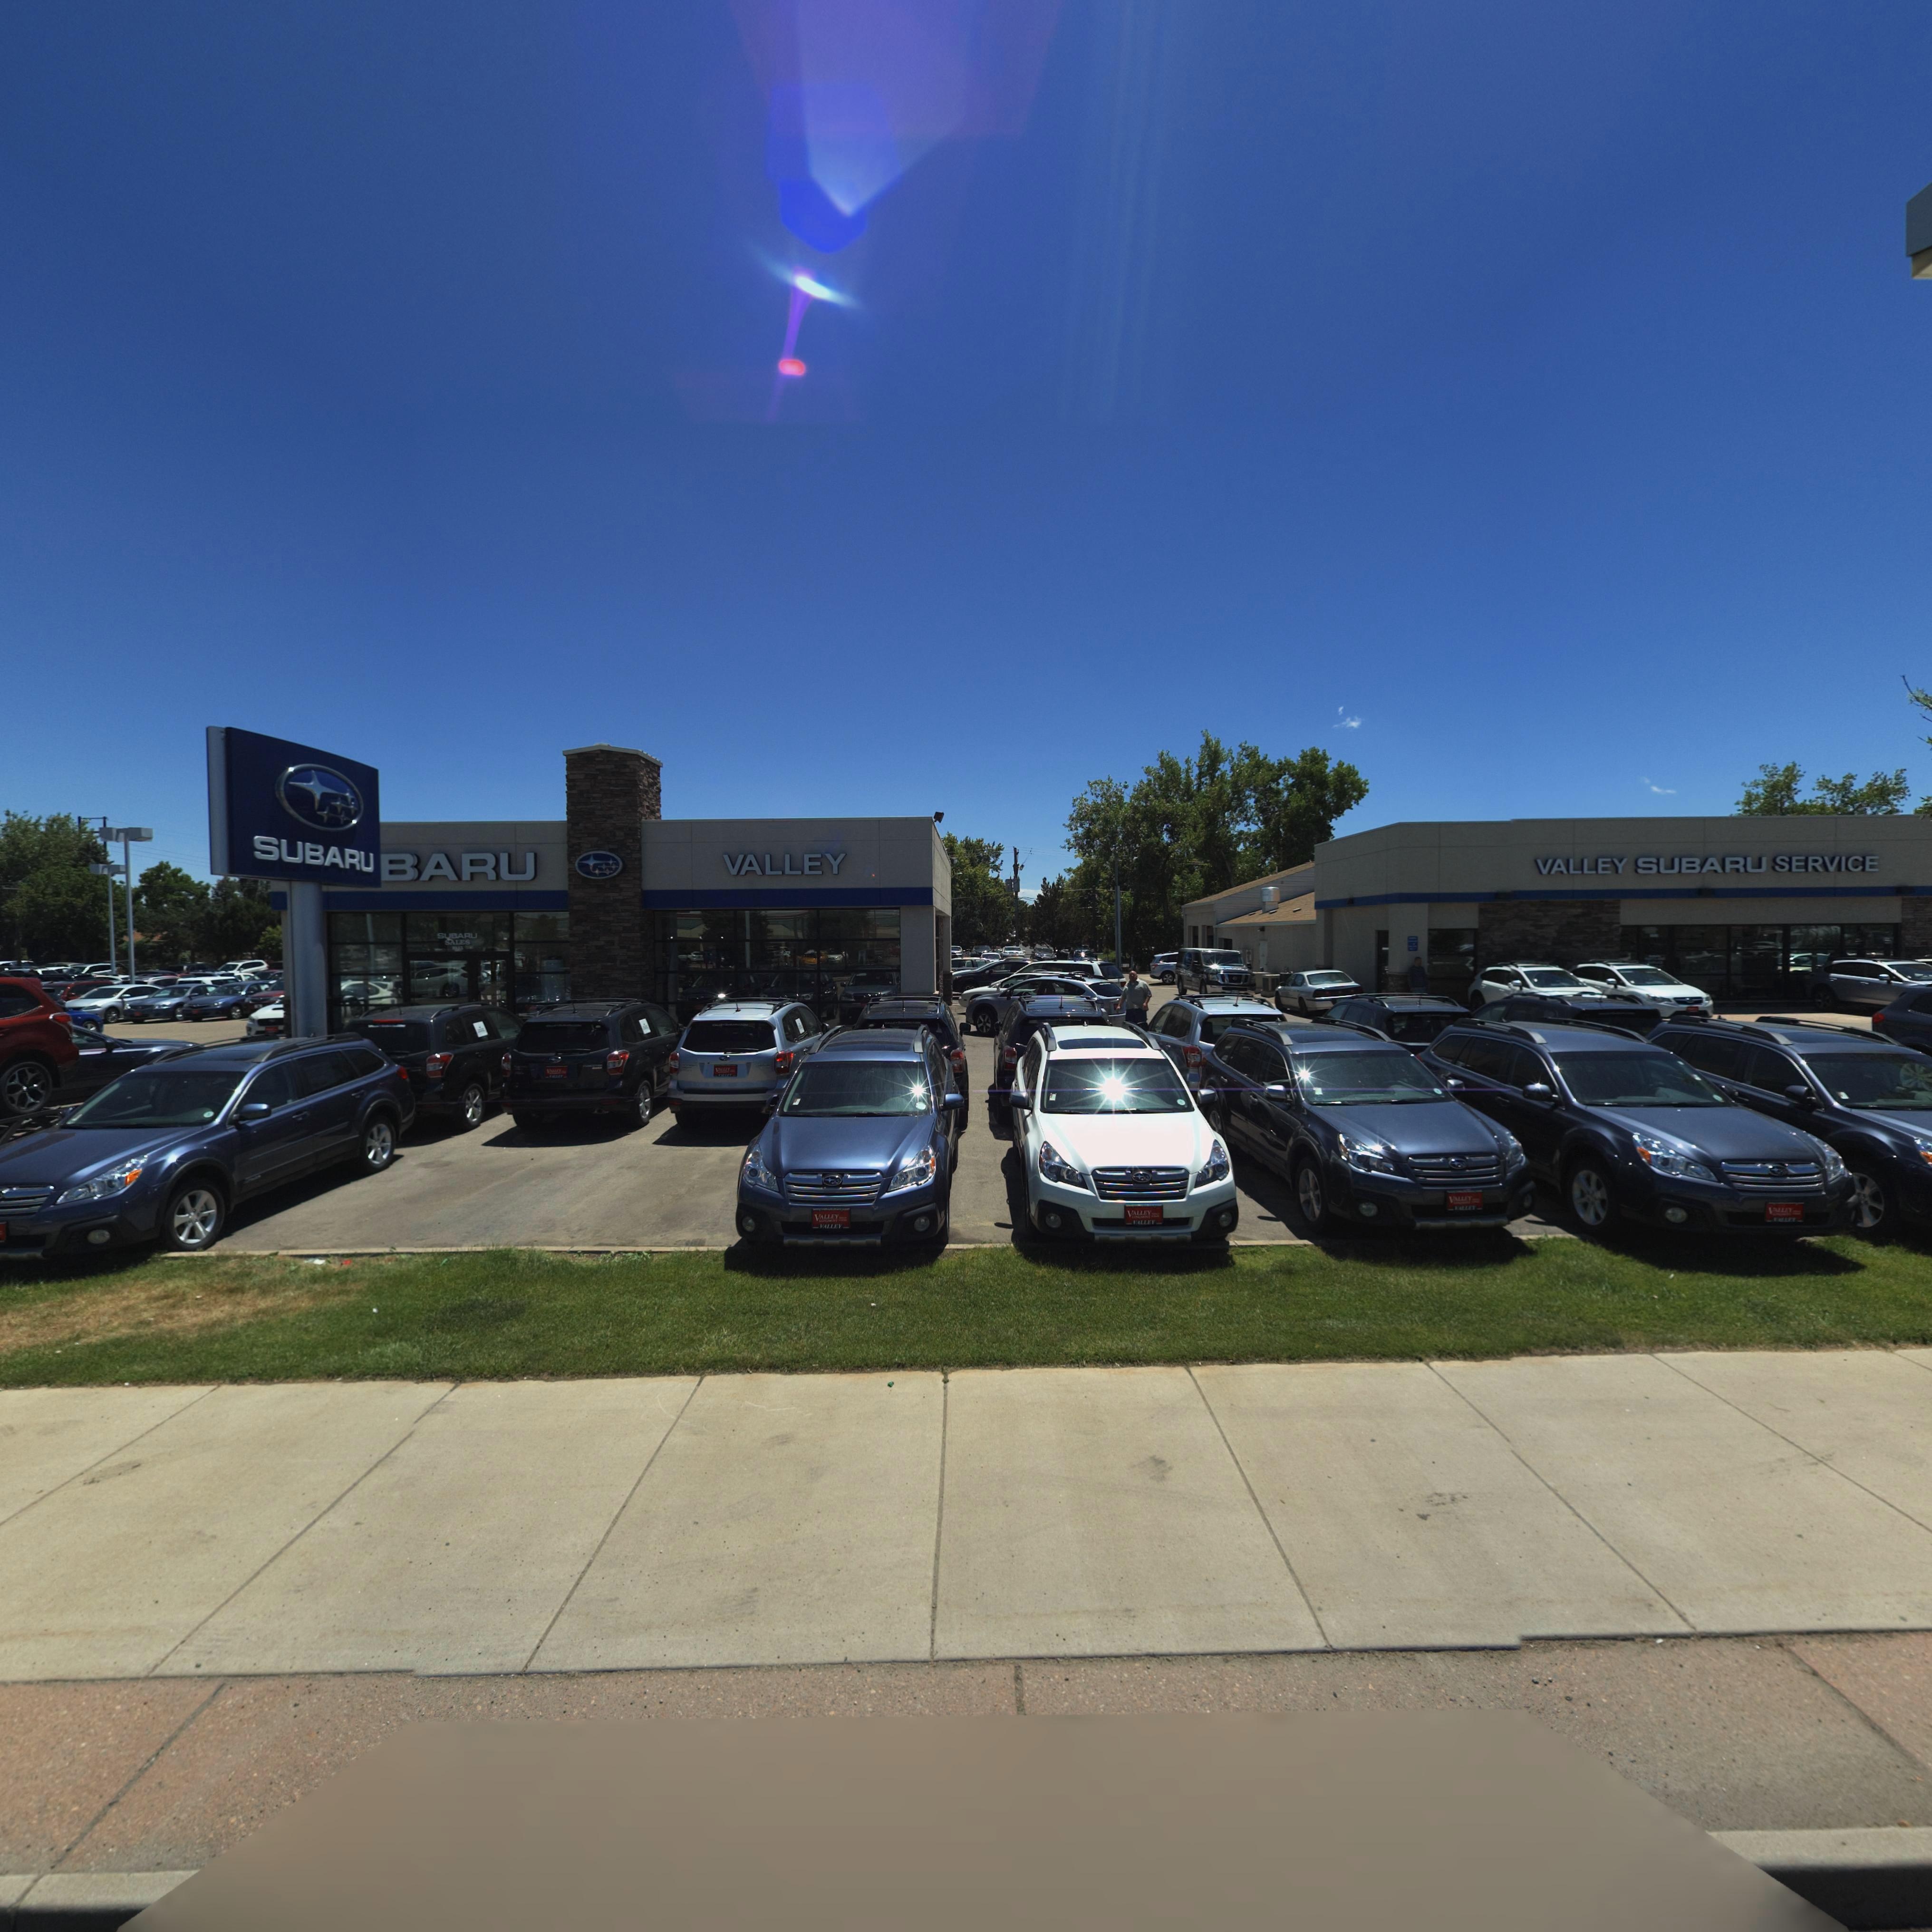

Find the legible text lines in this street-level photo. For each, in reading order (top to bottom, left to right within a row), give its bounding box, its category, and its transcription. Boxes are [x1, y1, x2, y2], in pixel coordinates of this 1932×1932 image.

[251, 834, 375, 873] BusinessName: SUBARU
[379, 851, 535, 882] BusinessName: BARU
[721, 852, 847, 876] BusinessName: VALLEY
[436, 932, 478, 939] BusinessName: SUBARU